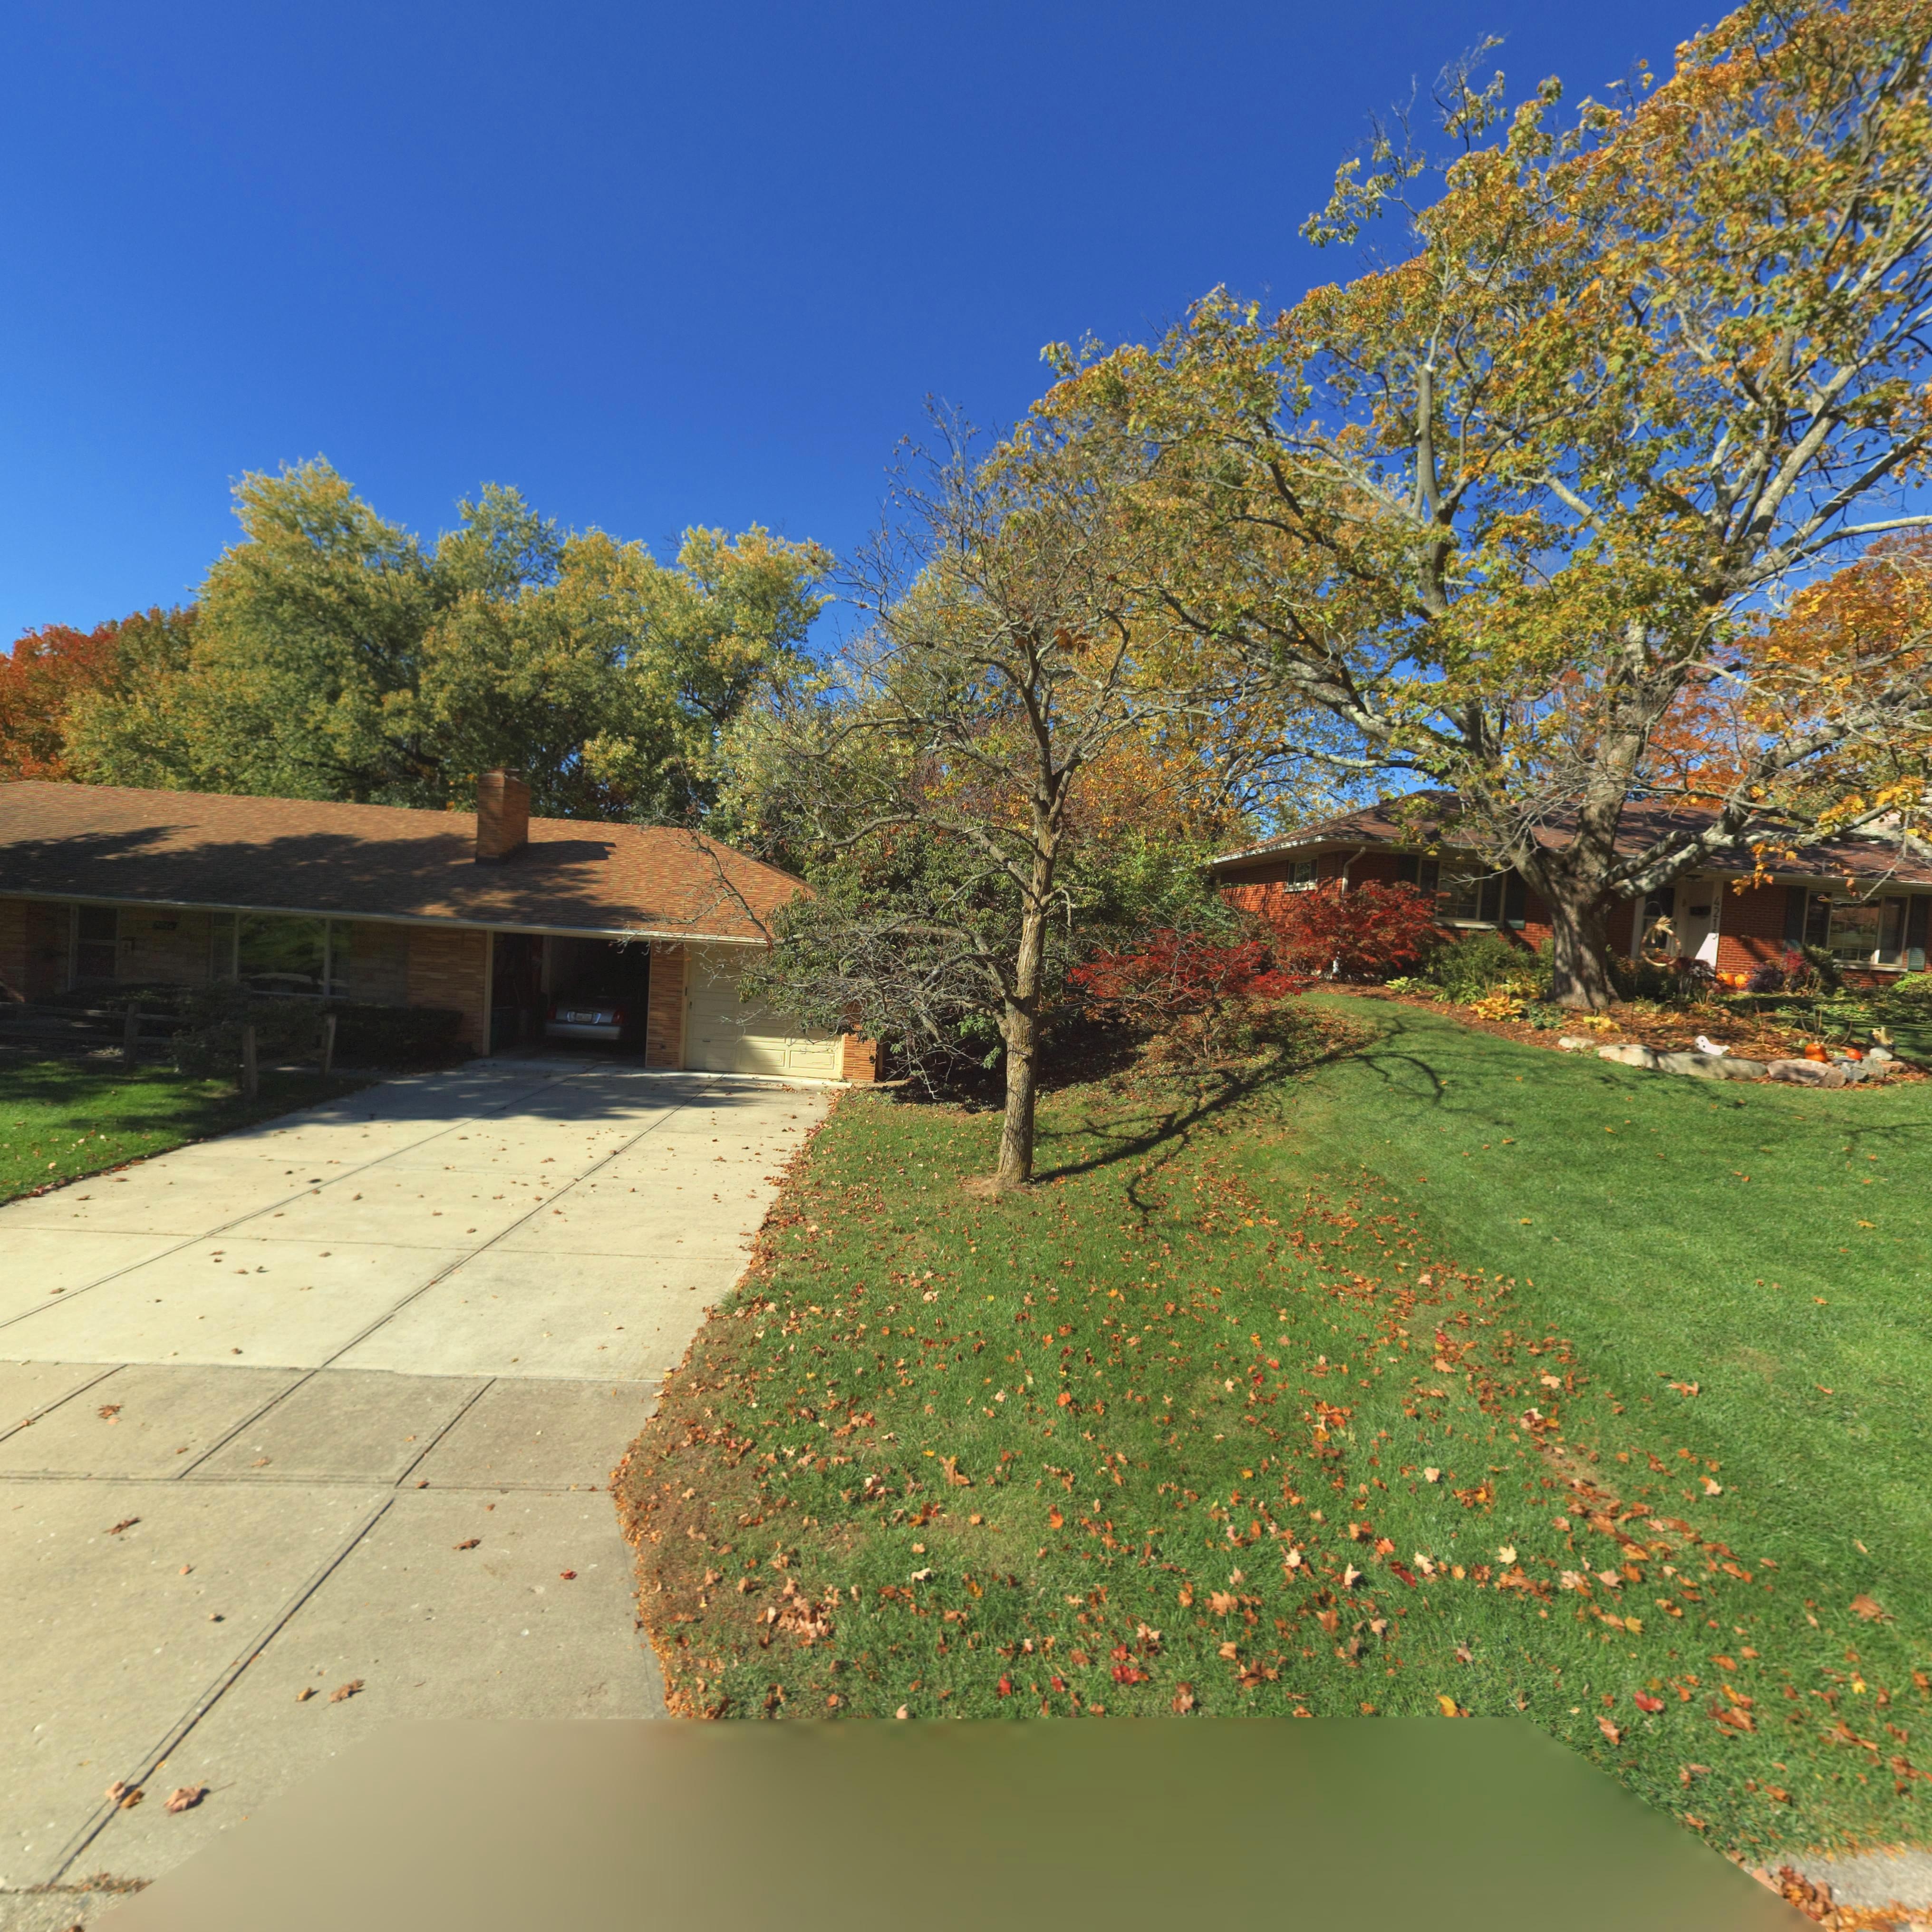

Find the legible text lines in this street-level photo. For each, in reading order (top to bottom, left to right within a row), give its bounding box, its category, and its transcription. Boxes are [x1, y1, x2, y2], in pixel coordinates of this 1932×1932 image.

[1710, 895, 1720, 940] StreetNumber: 4215